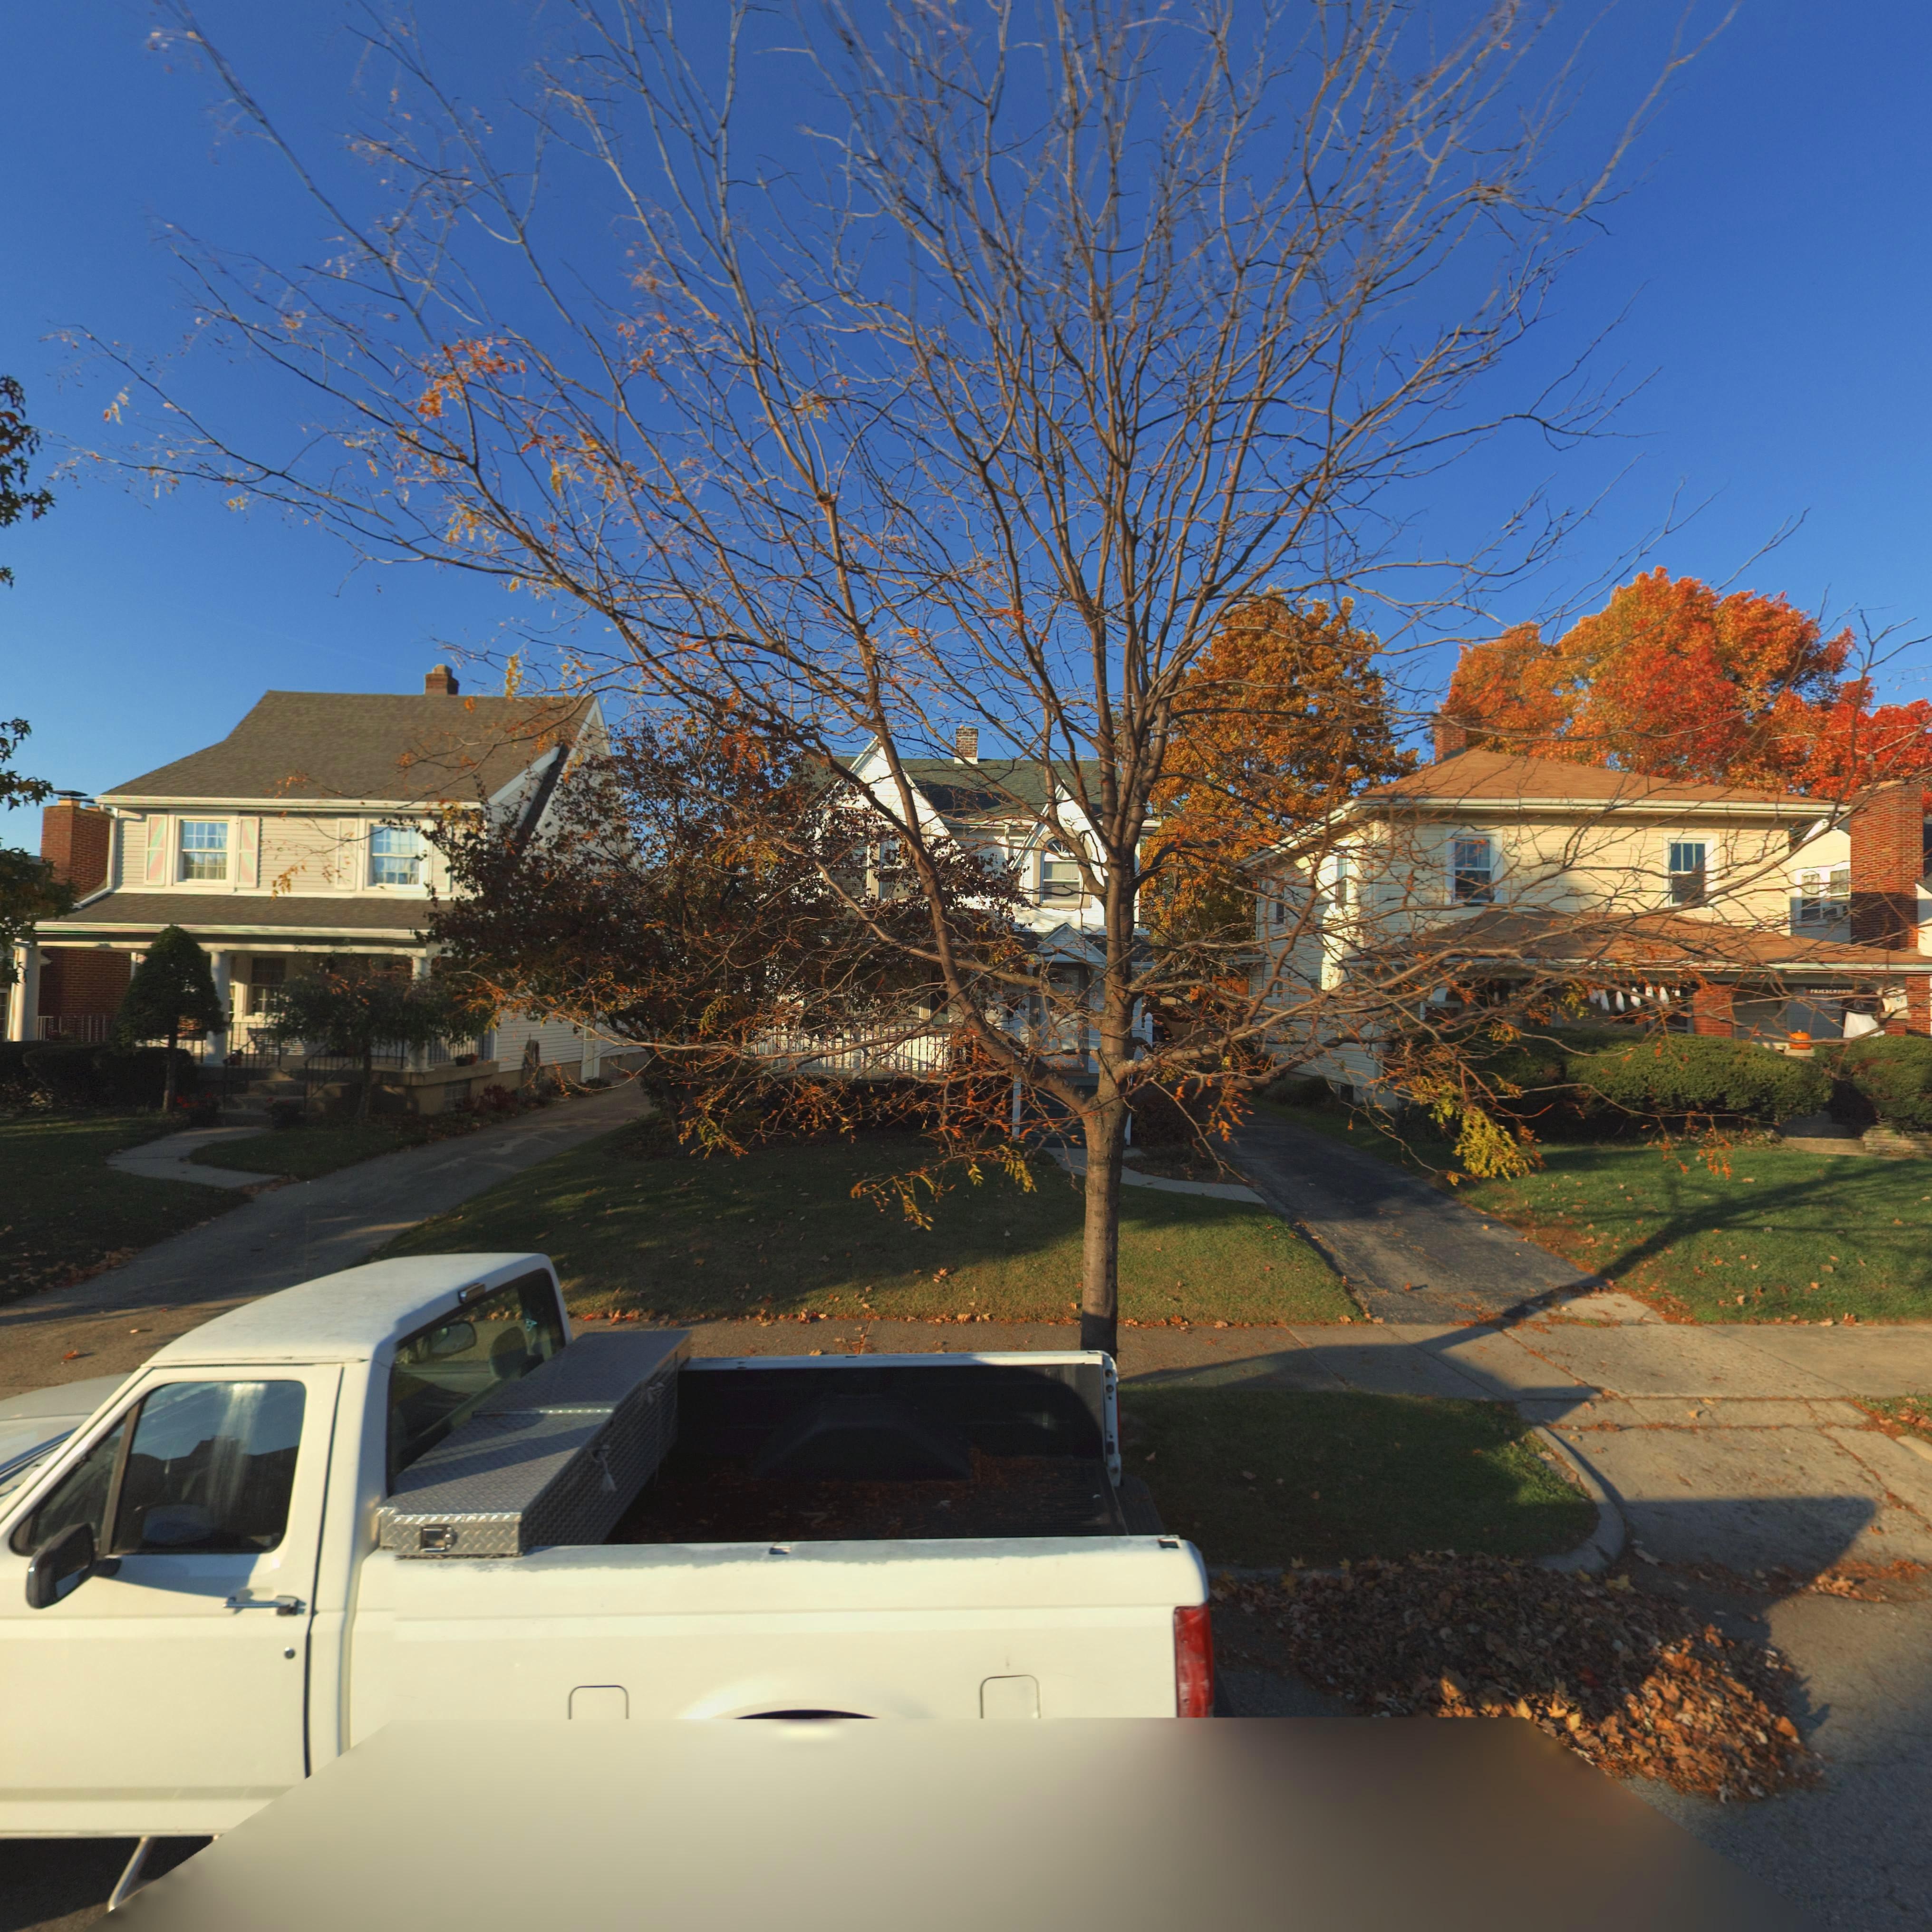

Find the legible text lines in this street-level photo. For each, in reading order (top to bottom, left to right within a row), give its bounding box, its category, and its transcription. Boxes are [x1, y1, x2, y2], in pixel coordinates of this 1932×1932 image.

[1896, 996, 1904, 1004] StreetNumber: 01